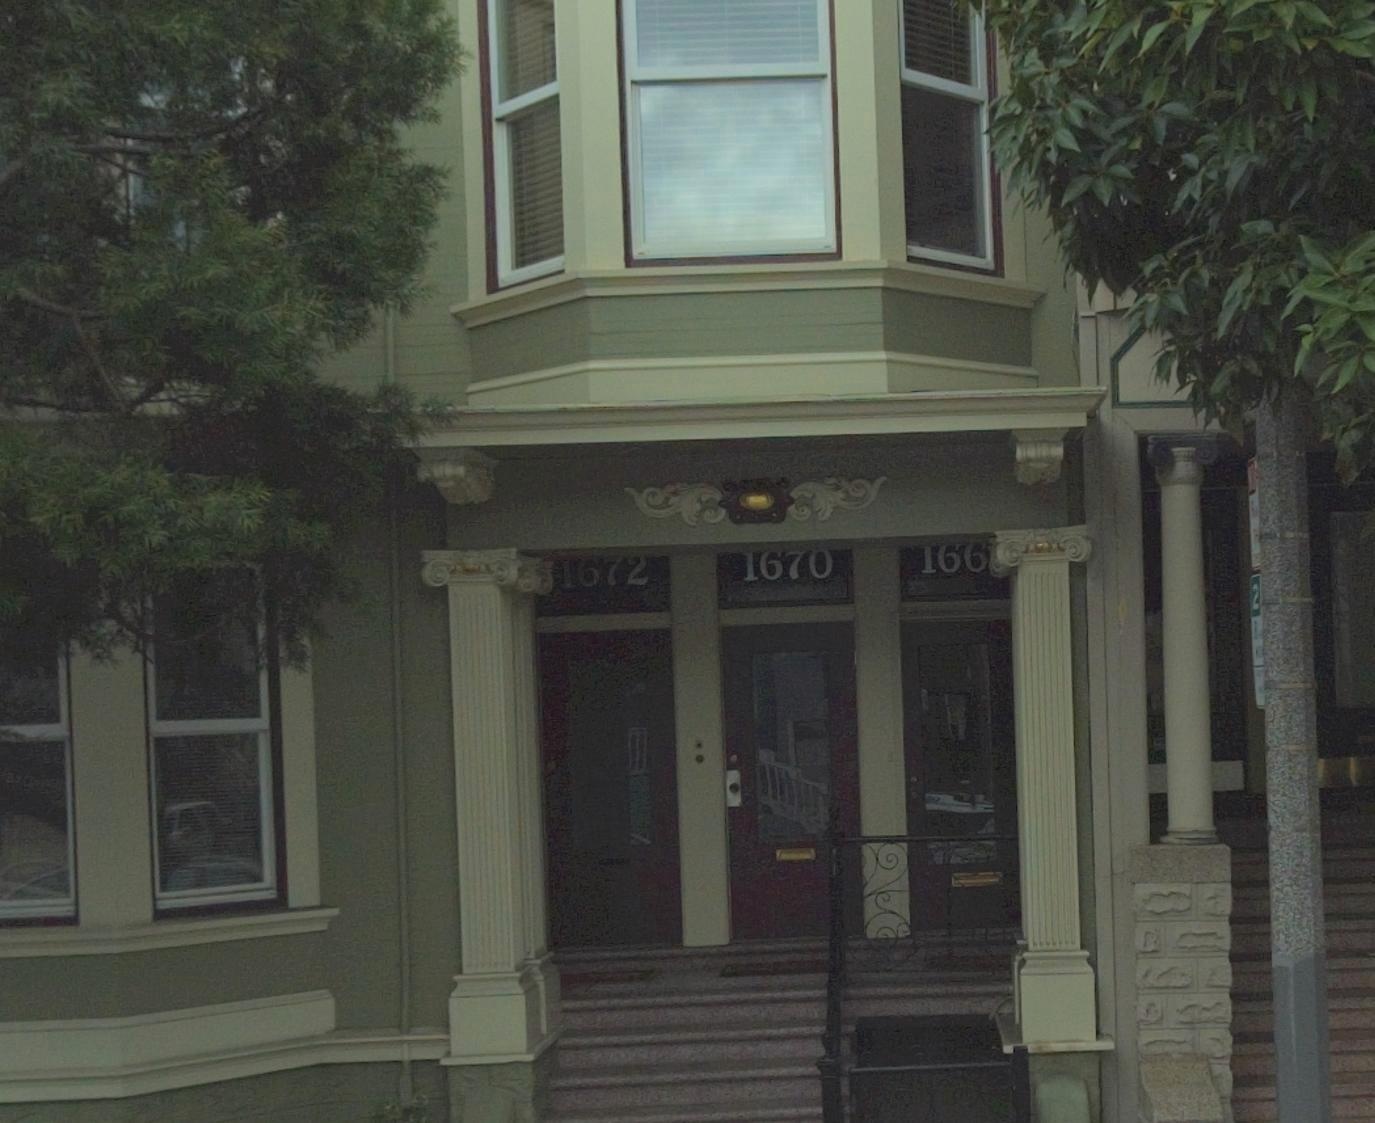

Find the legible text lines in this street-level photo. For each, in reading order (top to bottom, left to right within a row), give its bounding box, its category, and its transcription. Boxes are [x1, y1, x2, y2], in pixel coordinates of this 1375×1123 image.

[561, 551, 651, 589] StreetNumber: 1672
[742, 547, 835, 582] StreetNumber: 1670
[921, 538, 990, 574] StreetNumber: 166
[1252, 582, 1260, 611] None: 2